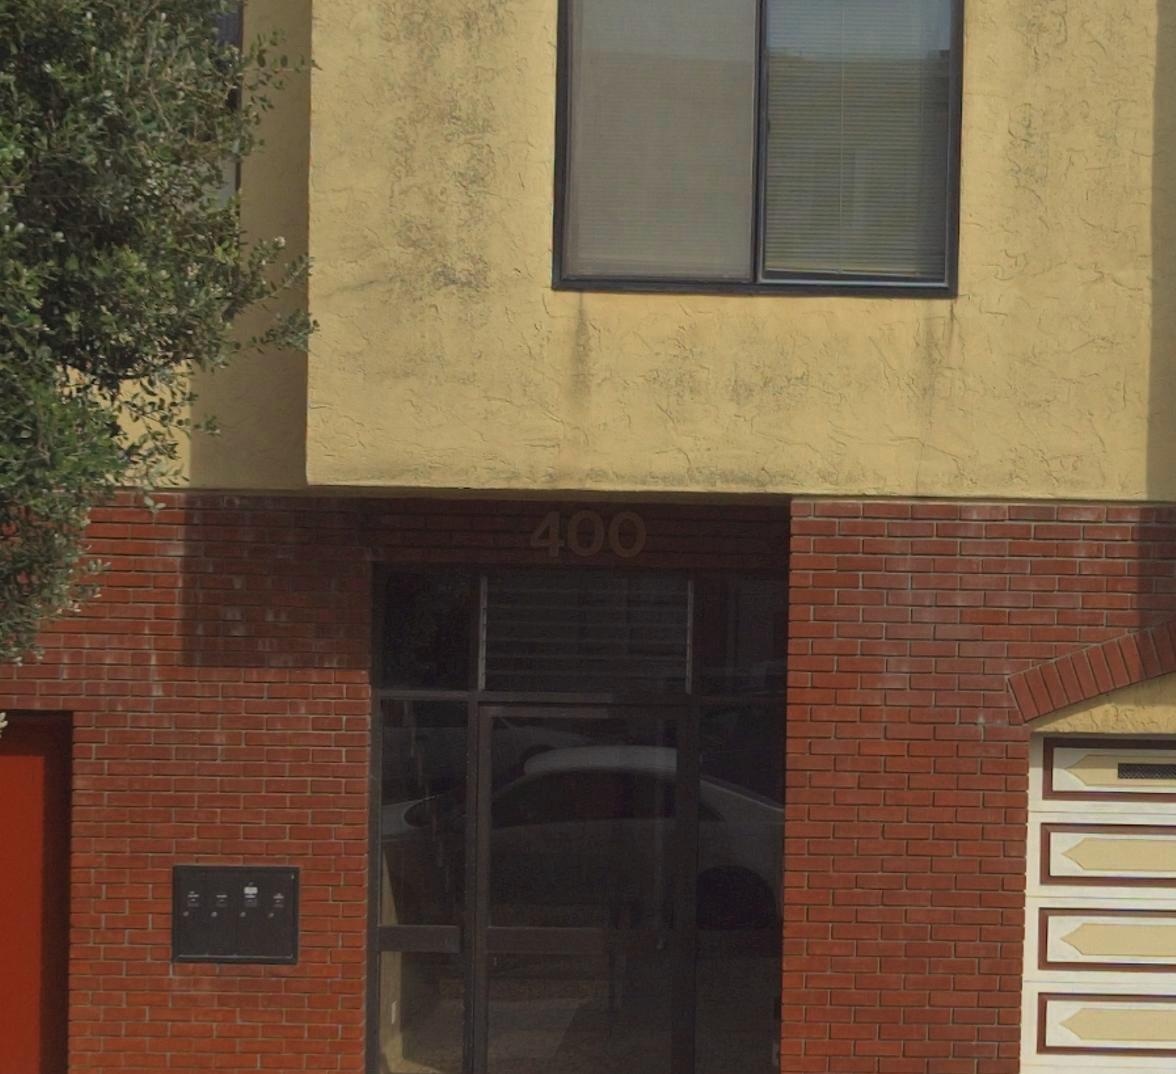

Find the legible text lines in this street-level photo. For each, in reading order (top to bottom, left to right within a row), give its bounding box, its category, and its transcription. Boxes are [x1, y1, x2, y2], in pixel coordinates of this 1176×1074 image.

[527, 507, 649, 559] StreetNumber: 400